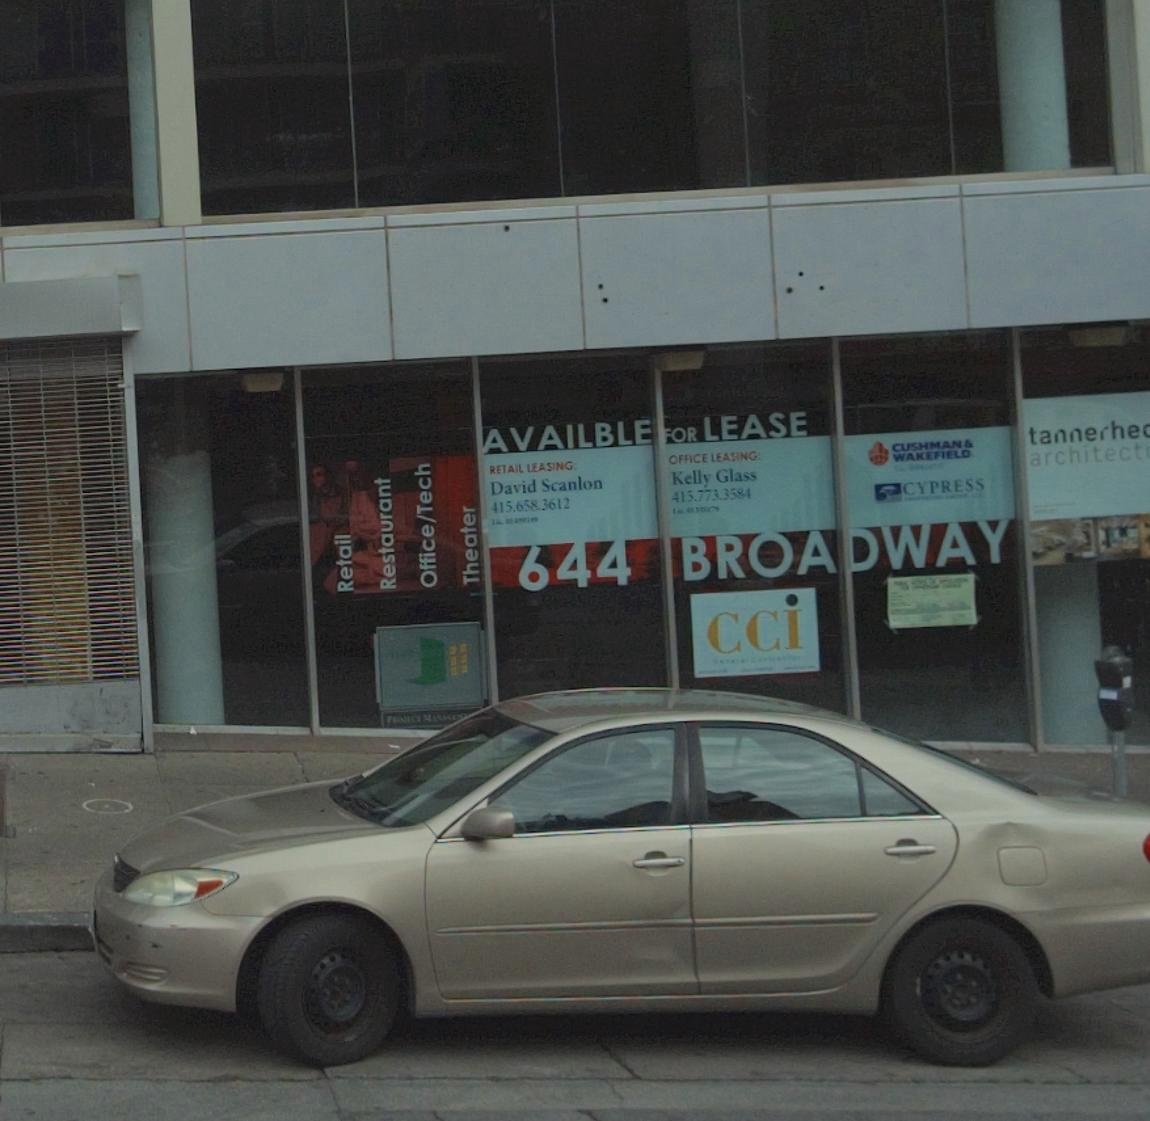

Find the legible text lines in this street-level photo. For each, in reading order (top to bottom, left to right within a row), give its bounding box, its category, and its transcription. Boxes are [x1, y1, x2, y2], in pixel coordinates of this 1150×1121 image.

[489, 495, 573, 516] None: 415.658.3612
[487, 459, 579, 477] None: RETAIL LEASING:
[489, 473, 605, 498] None: David Scanlon
[477, 408, 810, 457] None: AVAILBLE*OR LEASE
[671, 485, 755, 507] None: 415.773.3584
[669, 464, 760, 491] None: Kelly Glass
[666, 449, 764, 467] None: OF*ICE LEASING:
[889, 446, 974, 465] None: WAR*FIELD
[889, 437, 977, 454] None: CUSHMAN &
[900, 476, 987, 498] None: CYPRESS
[1026, 416, 1143, 449] BusinessName: tannerhe
[1026, 441, 1146, 472] BusinessName: architect
[332, 530, 356, 595] None: Retail
[370, 473, 400, 593] None: Restaurant
[412, 460, 441, 593] None: Office/Tech
[456, 501, 482, 588] None: Theater
[506, 536, 634, 595] StreetNumber: 644
[677, 516, 1015, 586] StreetName: BROA*WAY
[702, 589, 808, 657] None: CCi
[421, 712, 434, 725] None: M